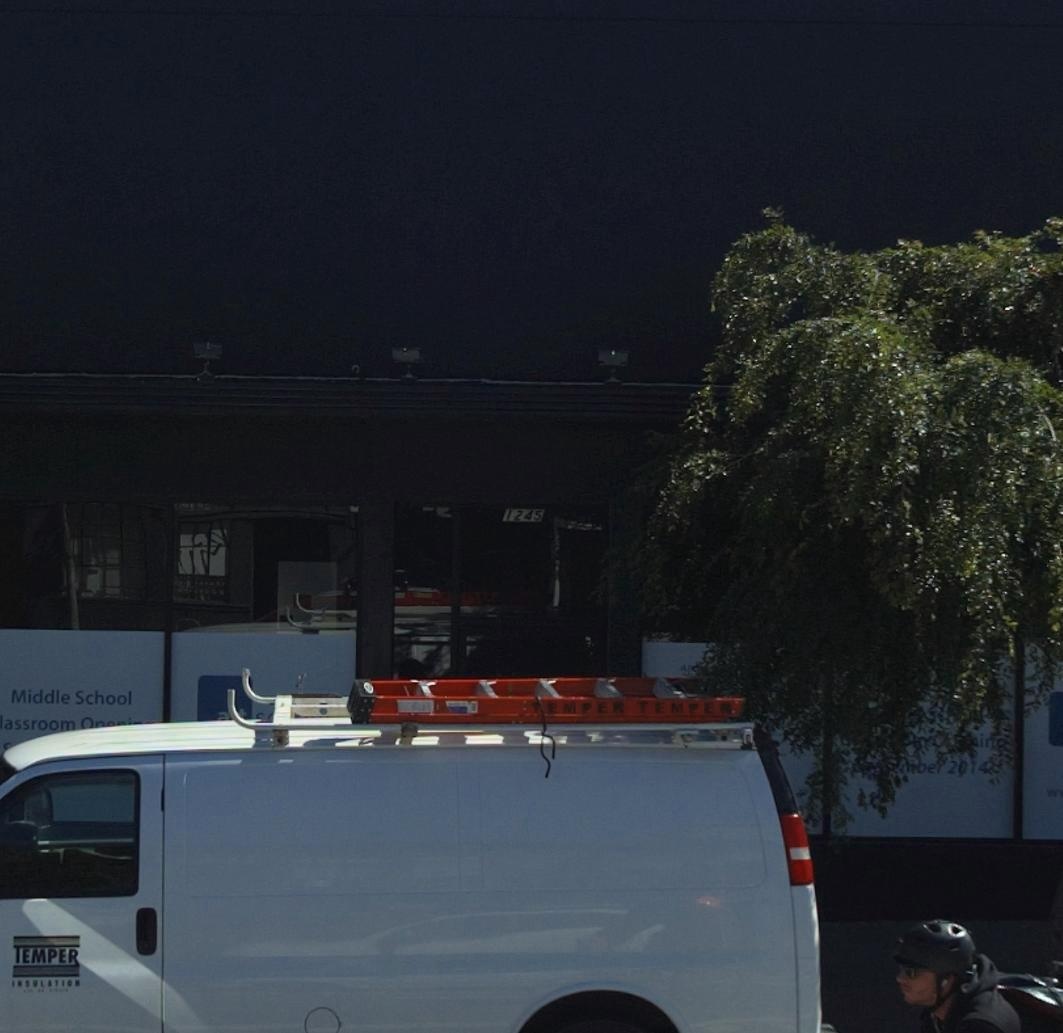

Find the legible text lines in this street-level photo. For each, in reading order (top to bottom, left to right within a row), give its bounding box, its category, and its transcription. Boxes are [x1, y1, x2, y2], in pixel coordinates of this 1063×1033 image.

[500, 507, 547, 525] StreetNumber: 1245
[8, 682, 137, 710] None: Middle School
[527, 698, 735, 719] None: TEMPER TEMPER
[0, 715, 79, 736] None: assroom
[11, 941, 83, 970] None: TEMPER